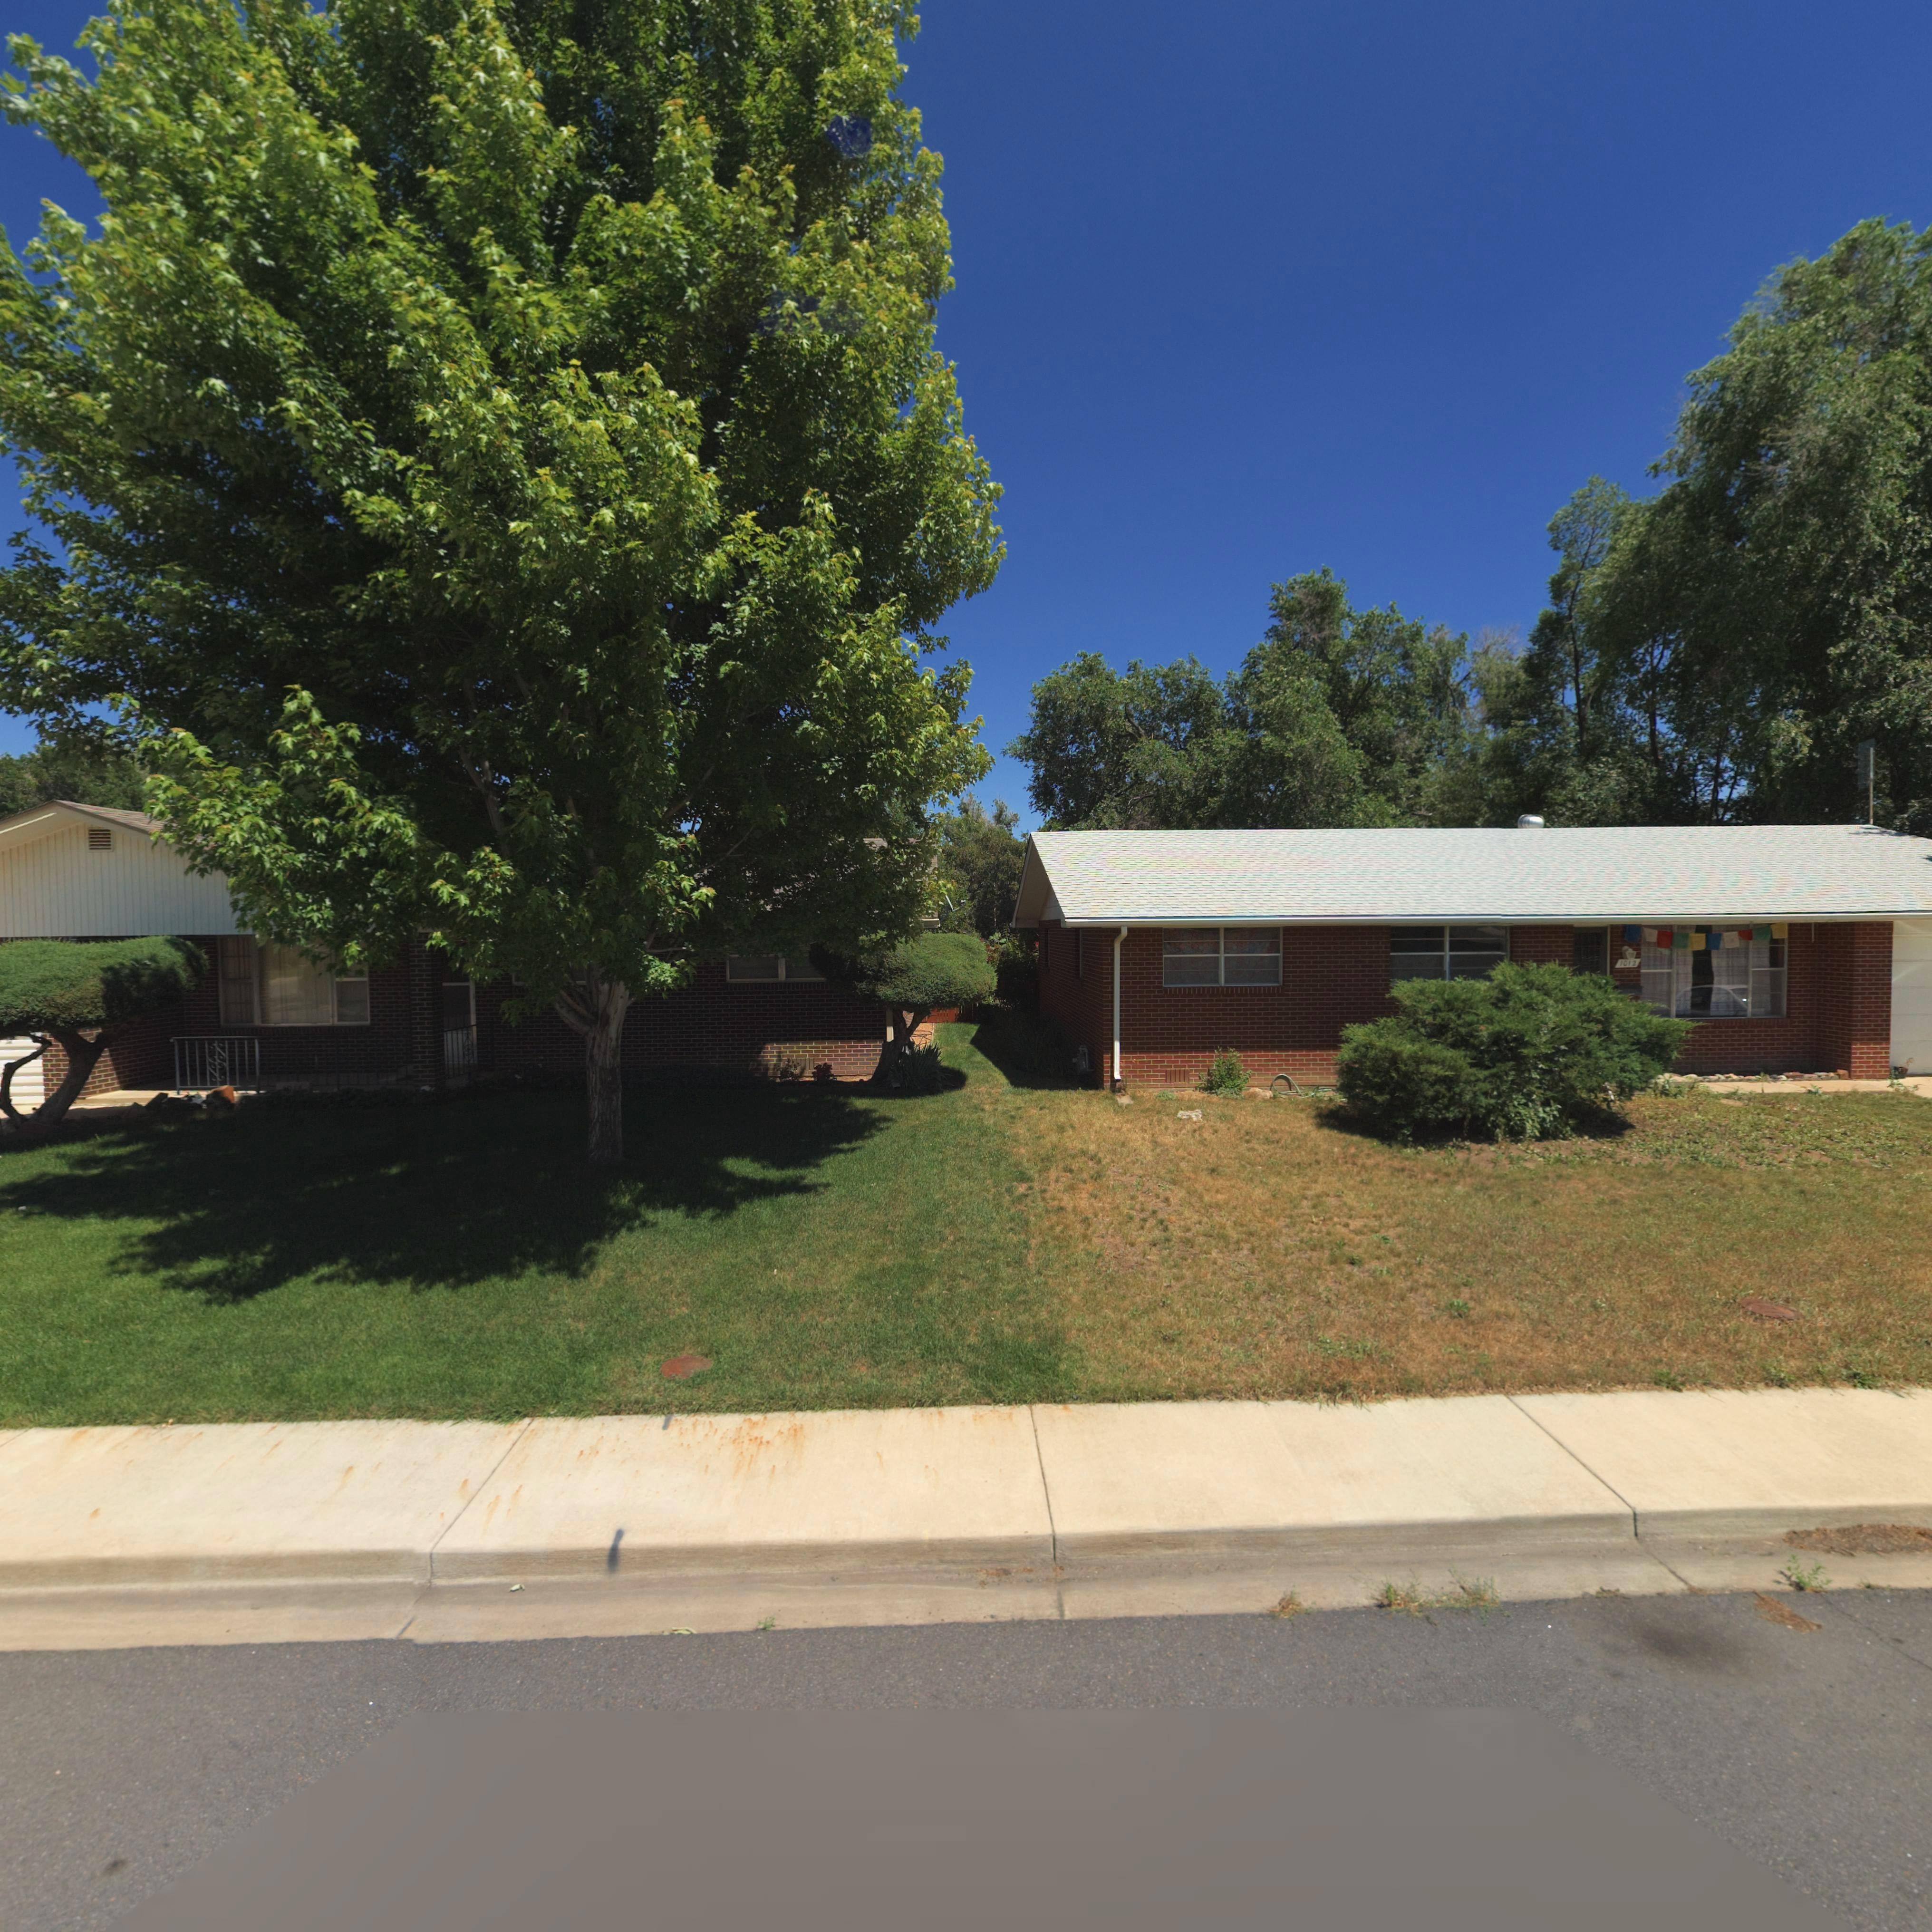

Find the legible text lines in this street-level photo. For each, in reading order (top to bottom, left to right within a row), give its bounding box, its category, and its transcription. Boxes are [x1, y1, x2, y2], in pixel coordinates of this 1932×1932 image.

[1619, 960, 1636, 966] StreetNumber: 1012